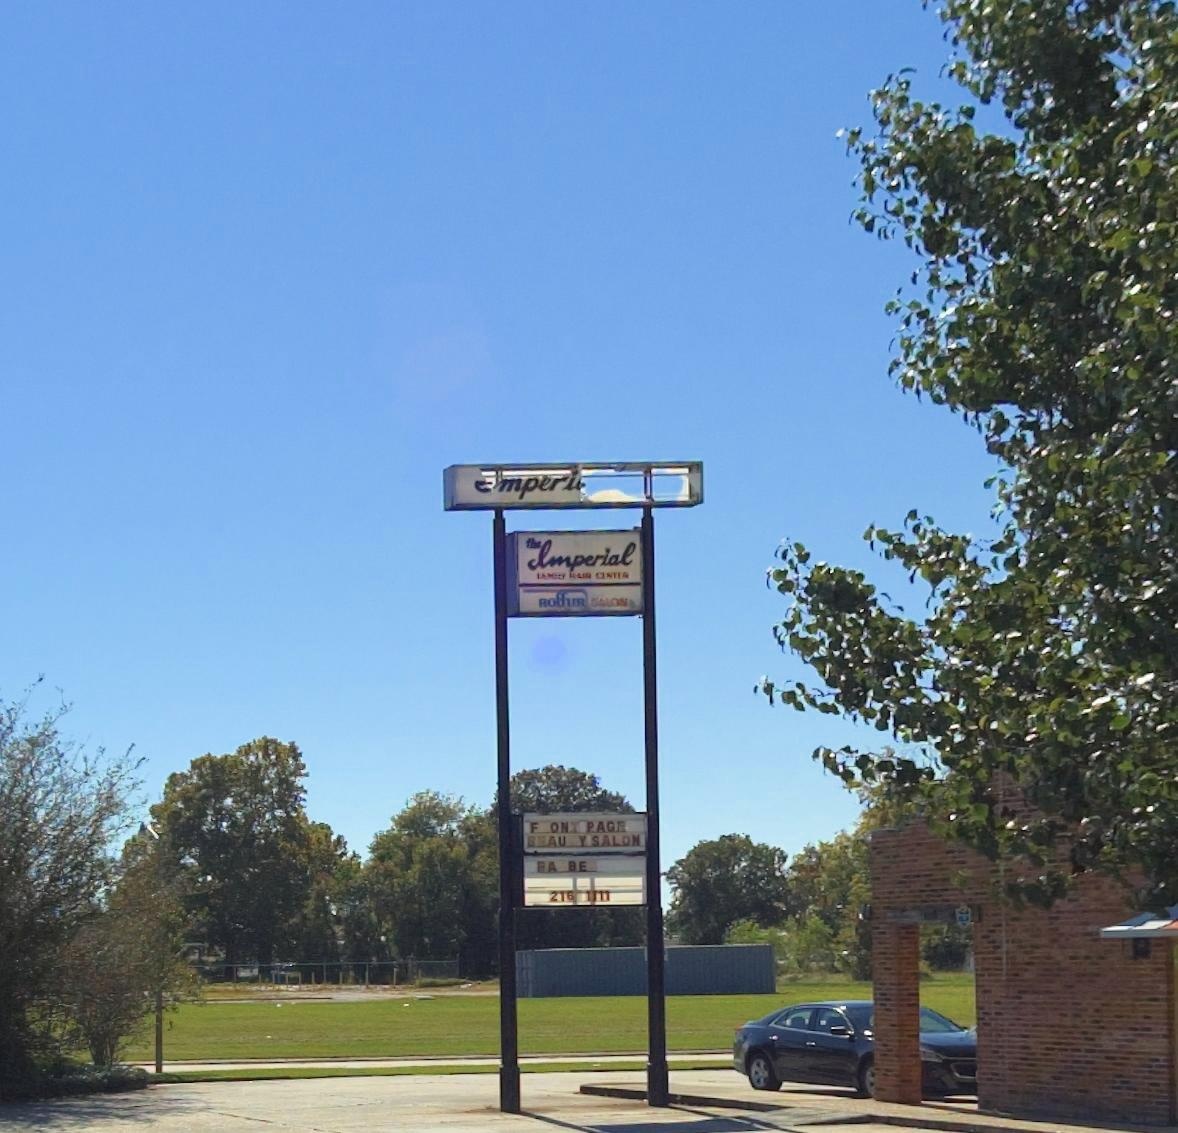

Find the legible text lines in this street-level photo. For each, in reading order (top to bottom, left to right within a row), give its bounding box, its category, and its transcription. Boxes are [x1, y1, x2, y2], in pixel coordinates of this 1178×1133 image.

[494, 468, 581, 503] BusinessName: mperi
[525, 537, 640, 575] BusinessName: Imperial
[536, 591, 587, 610] BusinessName: RO***ER
[527, 818, 618, 835] None: F on* PAG
[544, 832, 643, 850] None: AU Y SALON
[546, 858, 590, 875] None: A BE
[546, 887, 613, 905] None: 216 1111